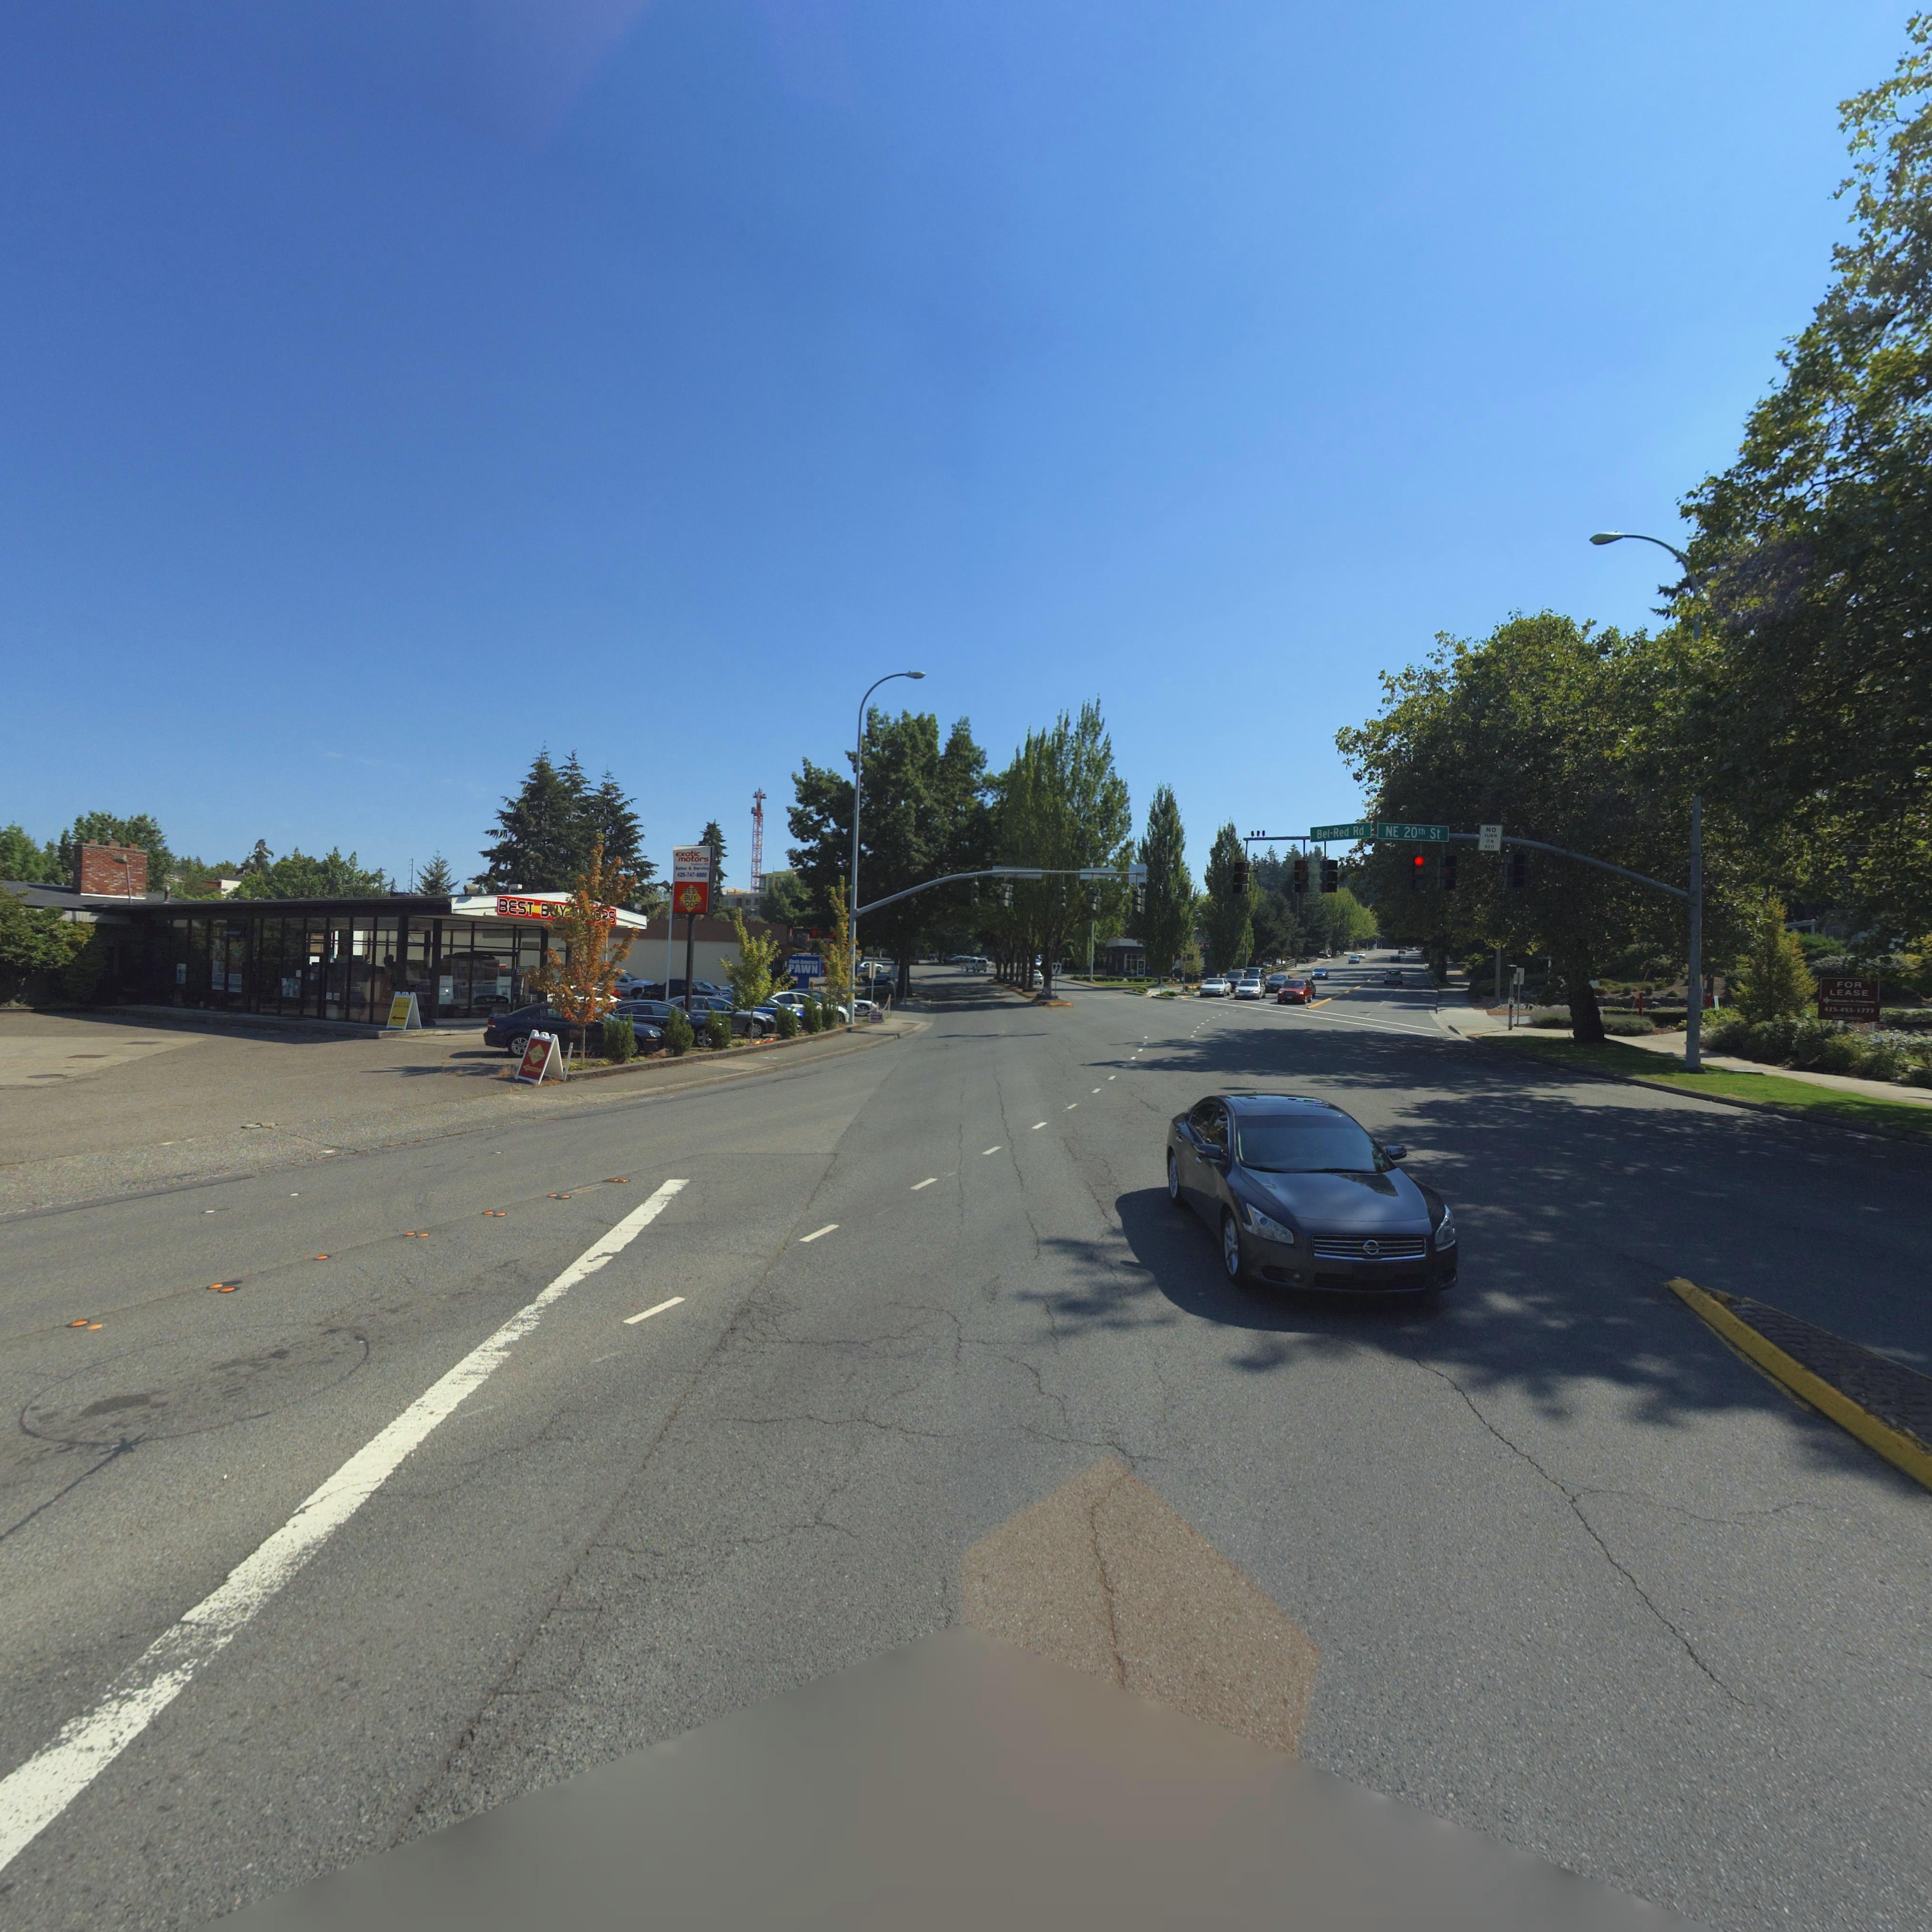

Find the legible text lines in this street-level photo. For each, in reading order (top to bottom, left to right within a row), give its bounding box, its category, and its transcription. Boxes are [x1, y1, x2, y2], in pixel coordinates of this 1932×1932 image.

[1315, 824, 1365, 839] StreetName: Bel Red Rd
[1384, 823, 1442, 840] StreetName: NE 20th St
[675, 850, 701, 857] BusinessName: Exotic
[677, 856, 709, 862] BusinessName: Motors
[681, 885, 701, 894] BusinessName: Best
[683, 894, 699, 902] BusinessName: Buy
[499, 898, 533, 915] BusinessName: BEST
[676, 900, 704, 908] BusinessName: Floors
[787, 957, 819, 965] BusinessName: Cash America
[788, 964, 819, 975] BusinessName: PAWN